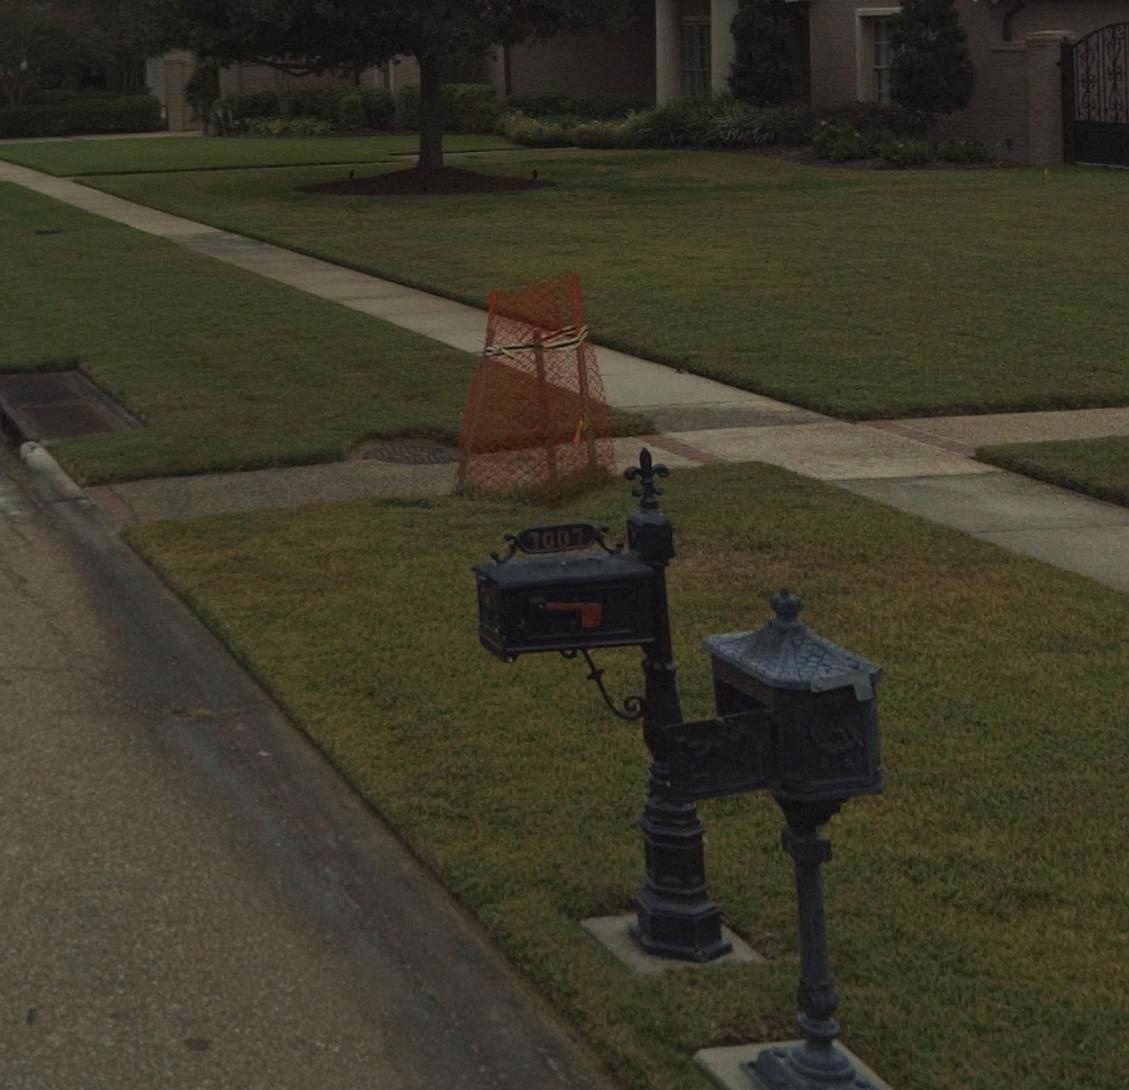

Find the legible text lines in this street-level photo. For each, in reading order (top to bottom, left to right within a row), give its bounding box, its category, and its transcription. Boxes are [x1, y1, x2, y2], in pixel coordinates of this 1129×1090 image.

[528, 526, 584, 552] StreetNumber: 7007